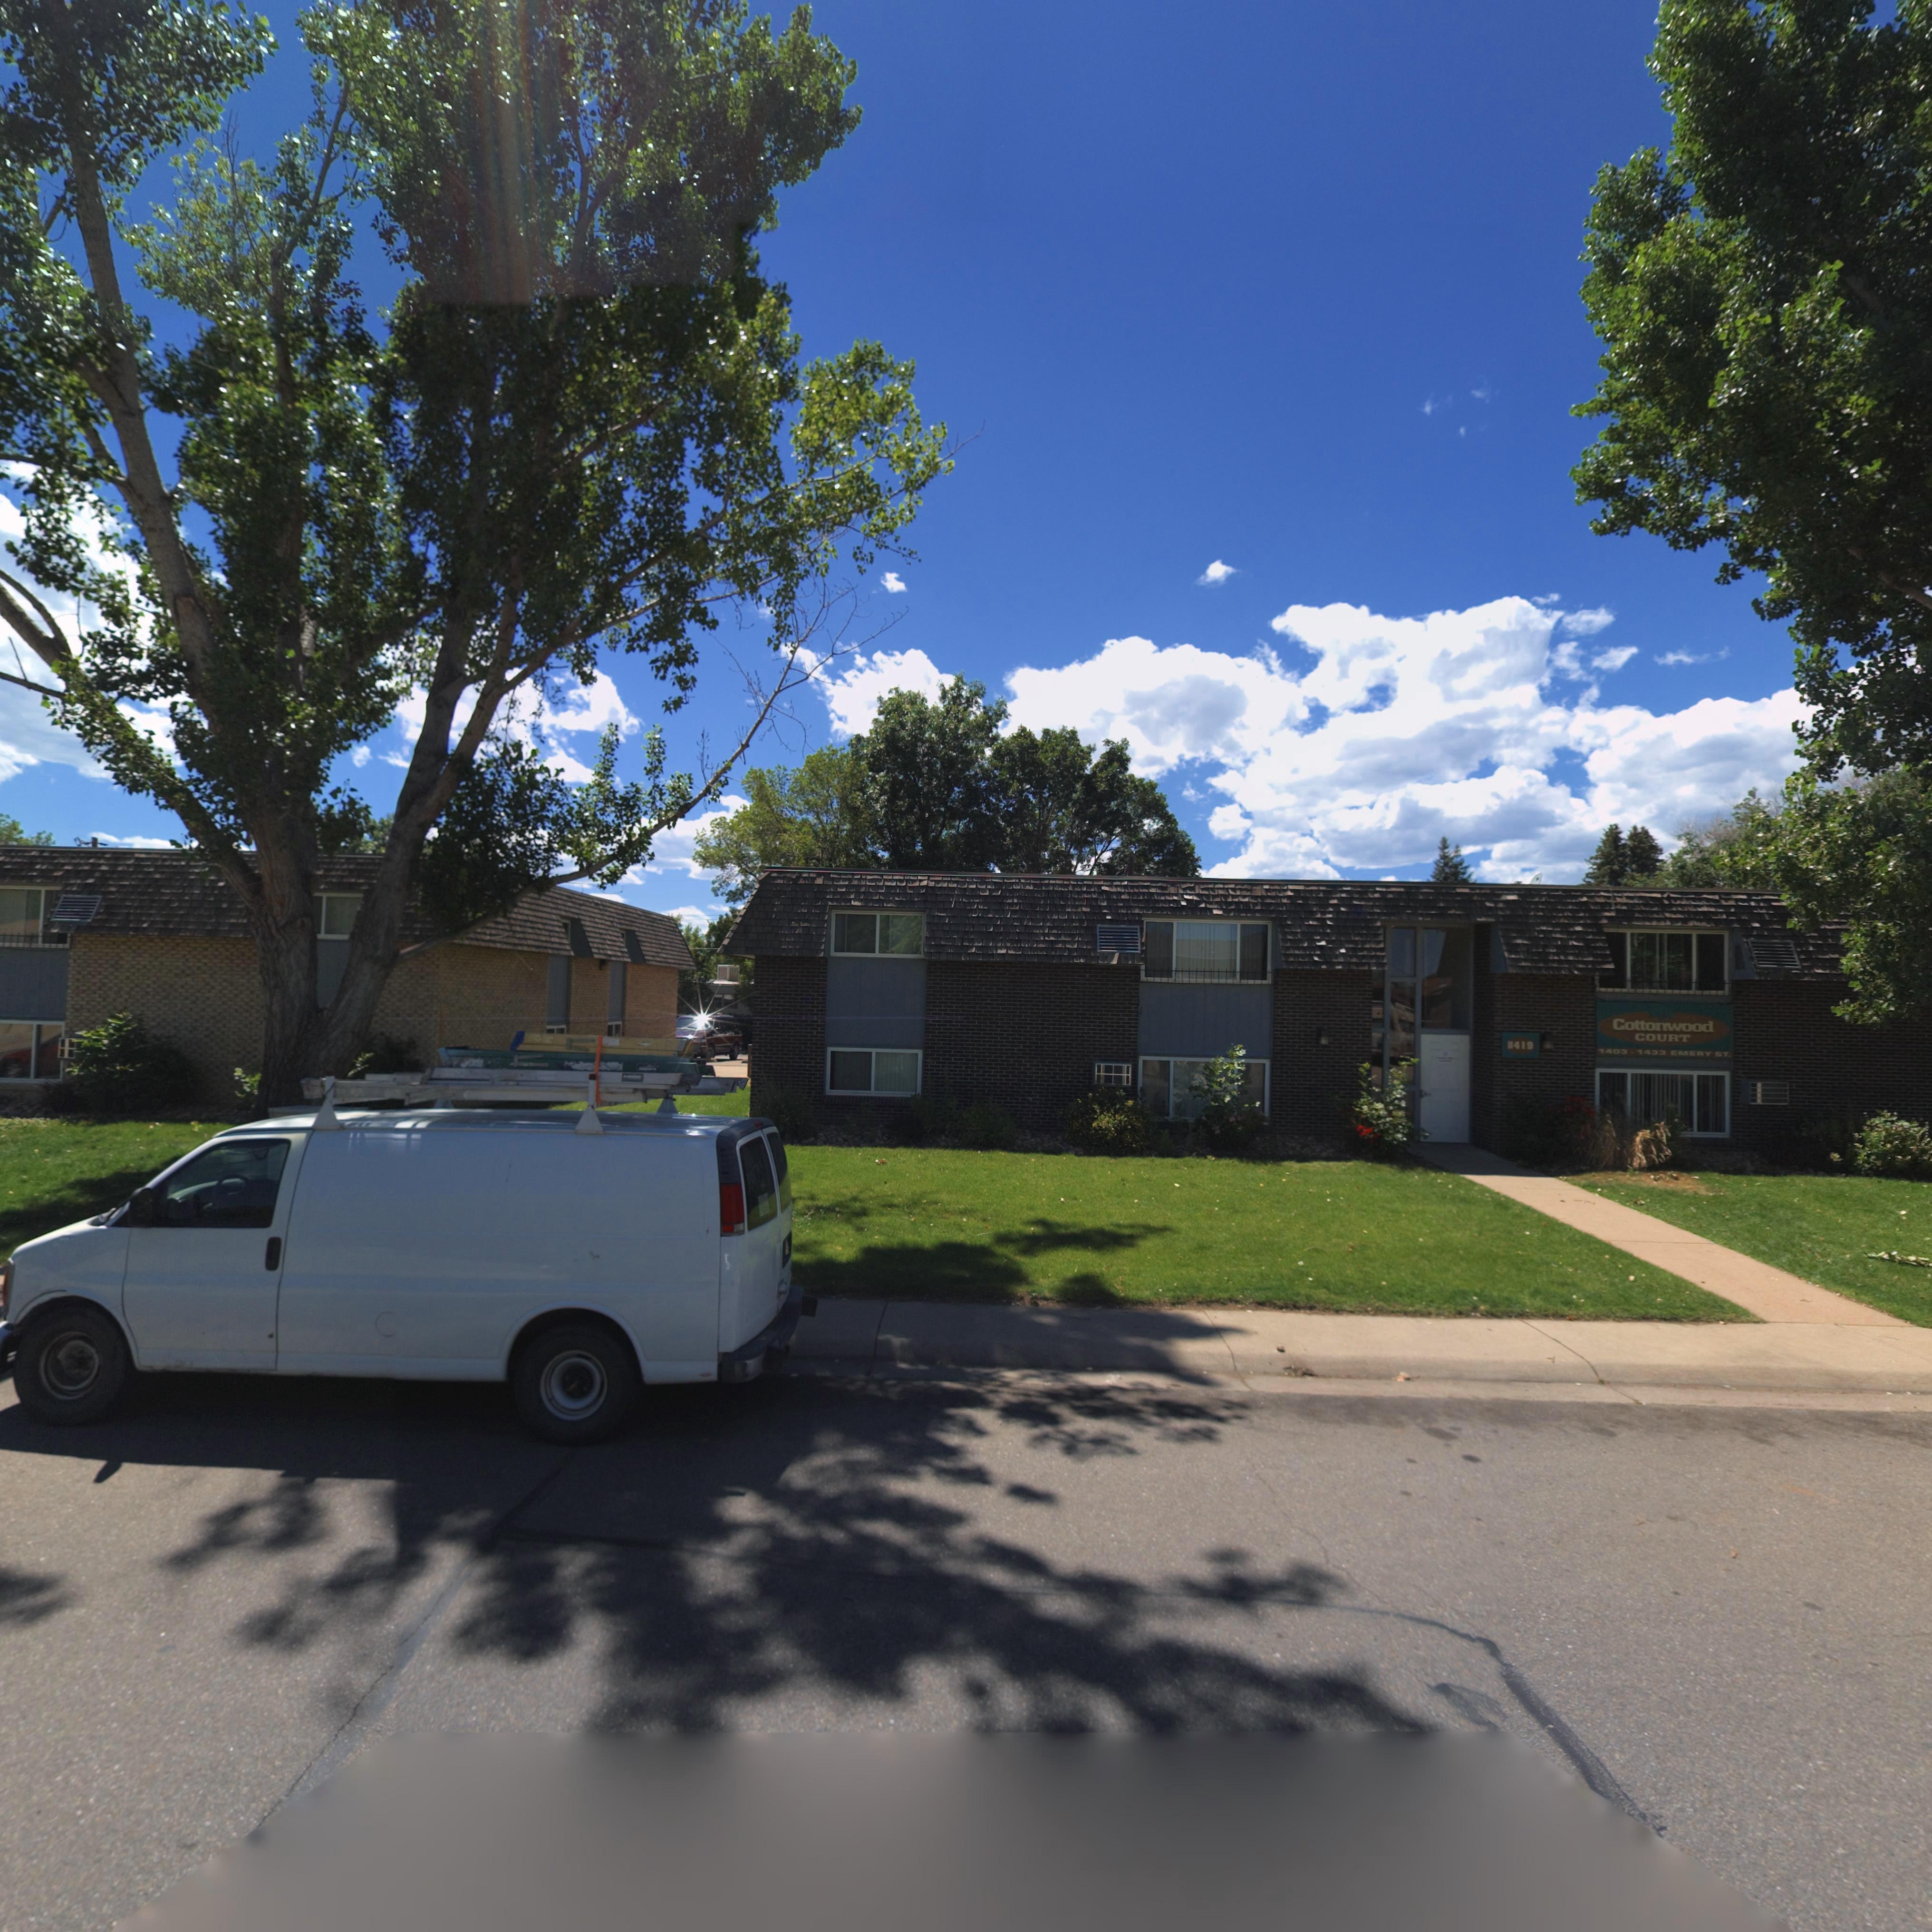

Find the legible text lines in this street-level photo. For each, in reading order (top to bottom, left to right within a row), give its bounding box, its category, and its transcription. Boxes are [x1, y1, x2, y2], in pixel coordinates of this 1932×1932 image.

[1612, 1017, 1714, 1033] BusinessName: Cottonwood
[1634, 1033, 1691, 1042] BusinessName: COURT
[1507, 1040, 1534, 1050] StreetNumber: 1*419
[1598, 1048, 1627, 1054] StreetNumber: 1403
[1636, 1049, 1666, 1055] StreetNumber: 1433
[1671, 1050, 1731, 1057] StreetName: EMERY ST.